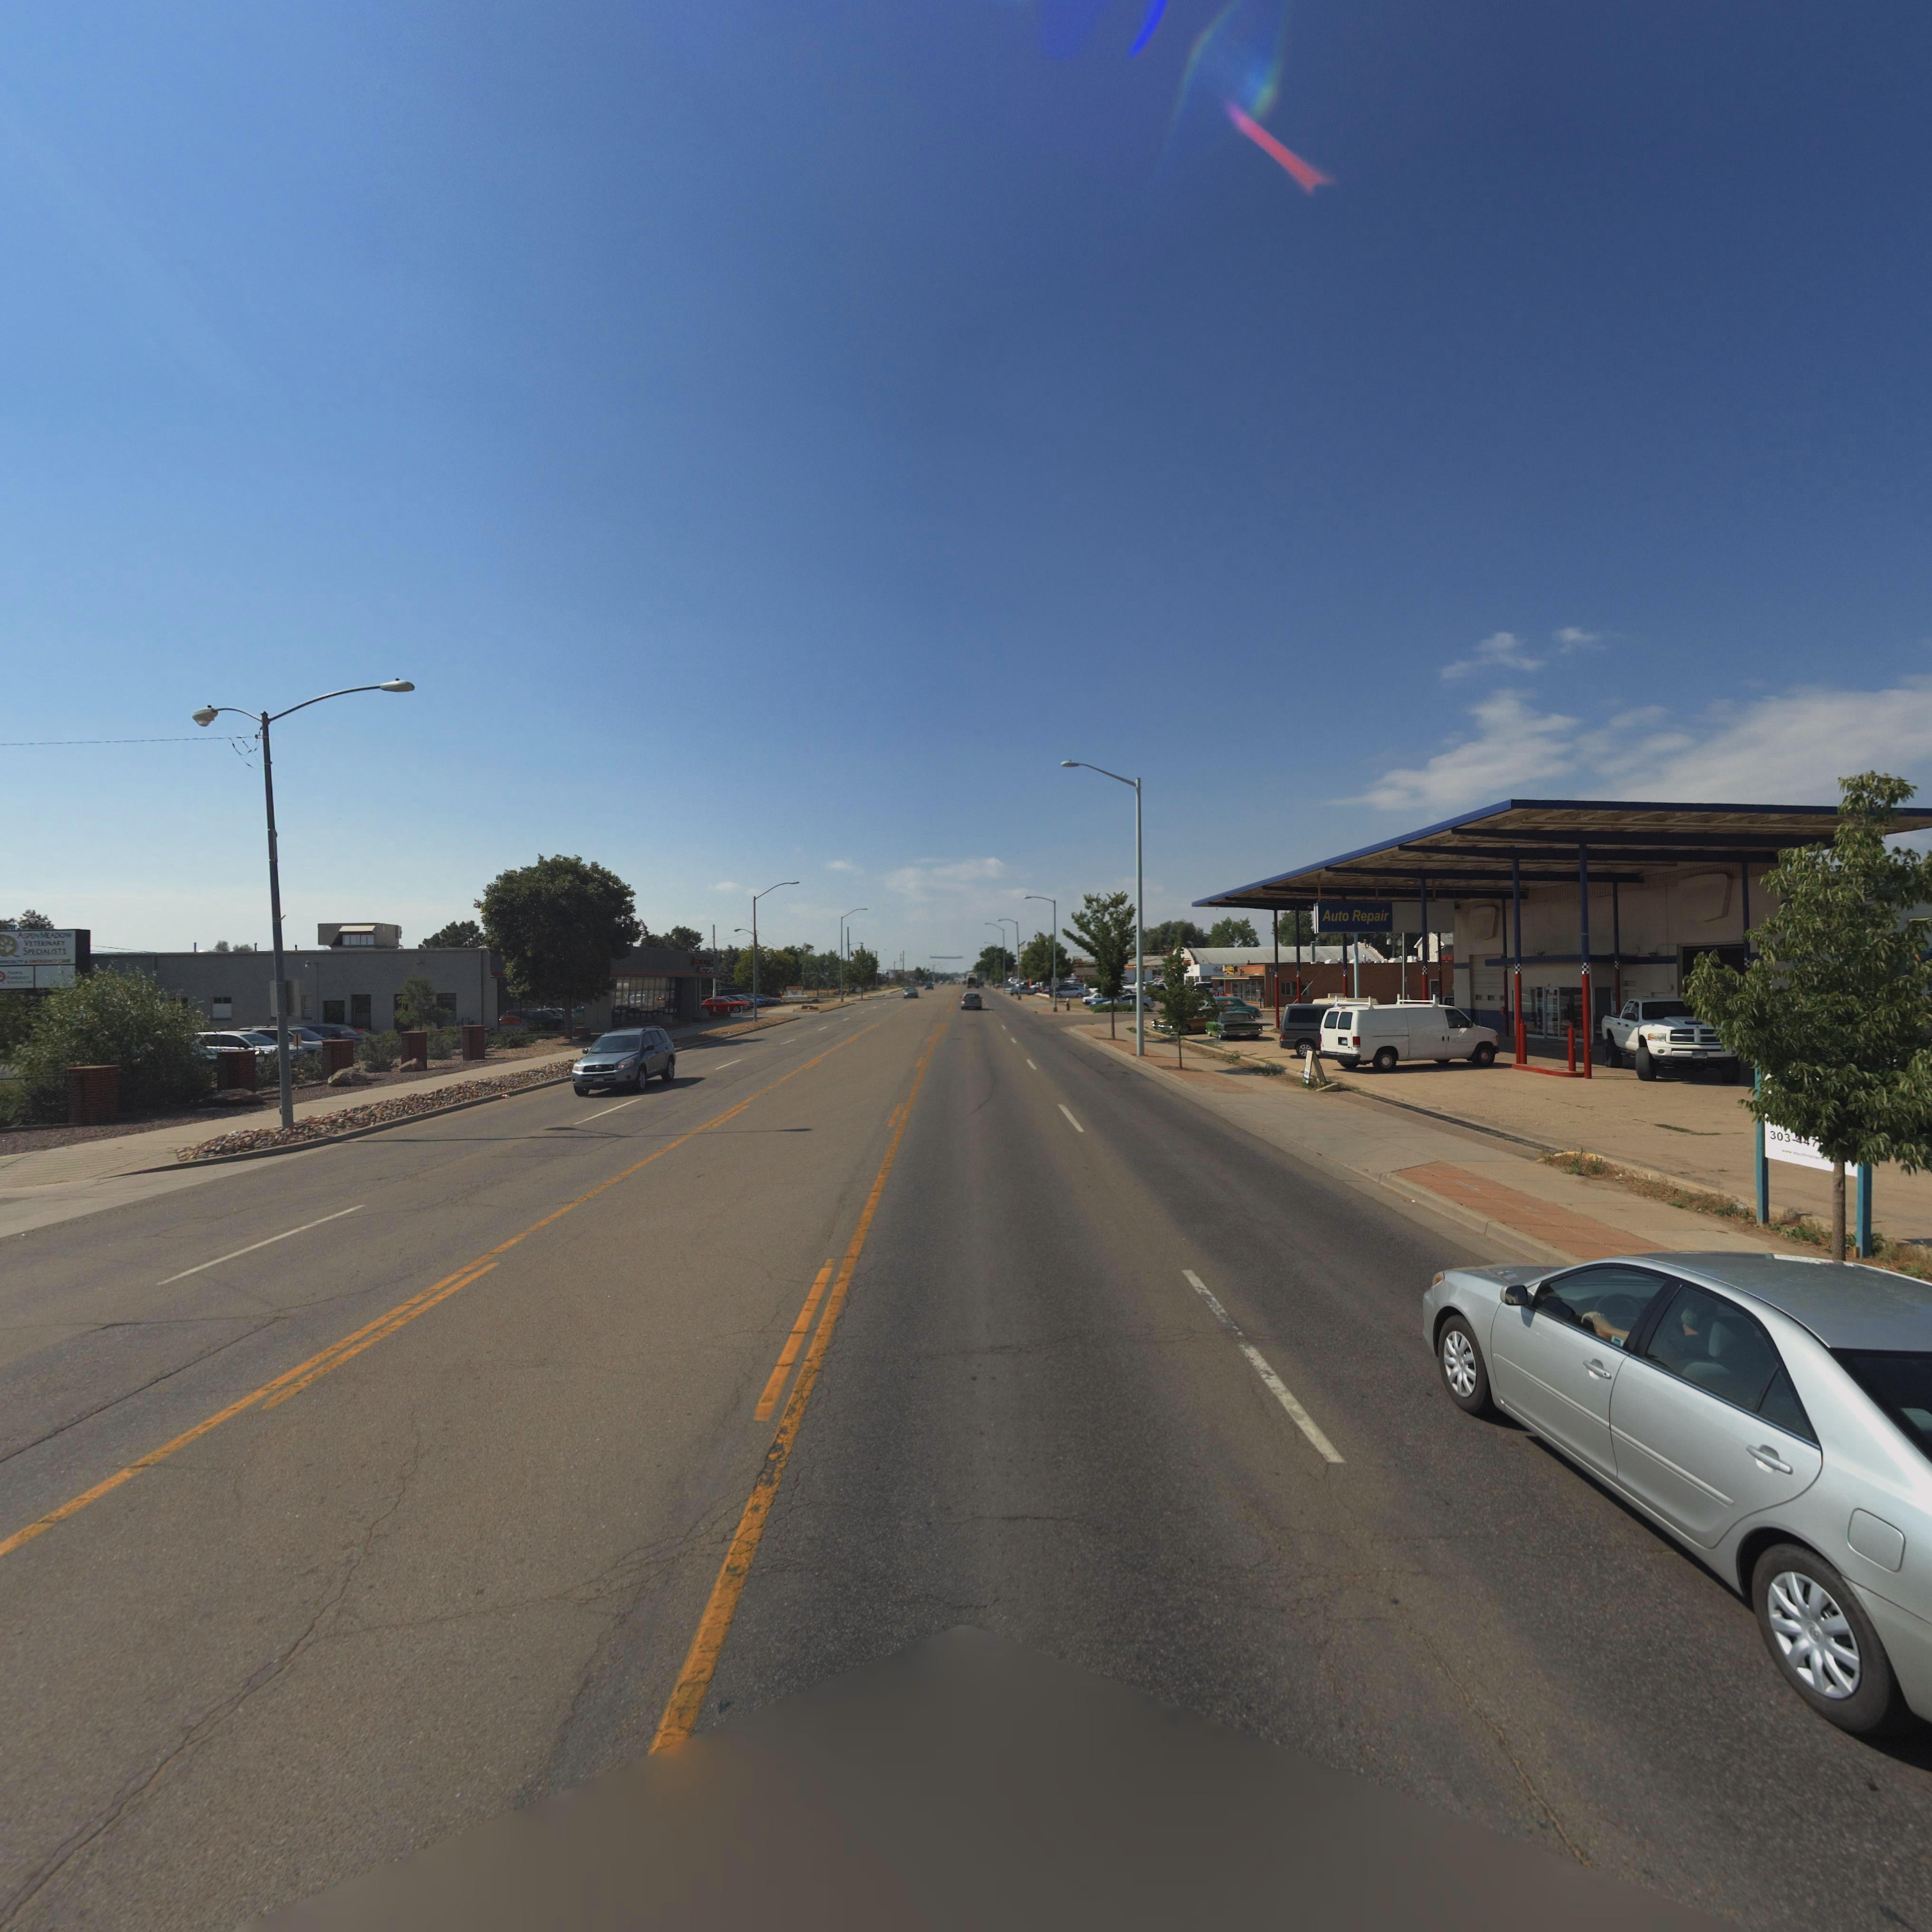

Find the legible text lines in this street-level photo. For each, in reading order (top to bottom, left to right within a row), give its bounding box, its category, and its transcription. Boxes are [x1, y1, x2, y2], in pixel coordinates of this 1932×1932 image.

[17, 931, 73, 939] BusinessName: ASPENMEADO*
[23, 939, 66, 946] BusinessName: V*T*R**ARY
[22, 947, 67, 955] BusinessName: SP*C*A**STS